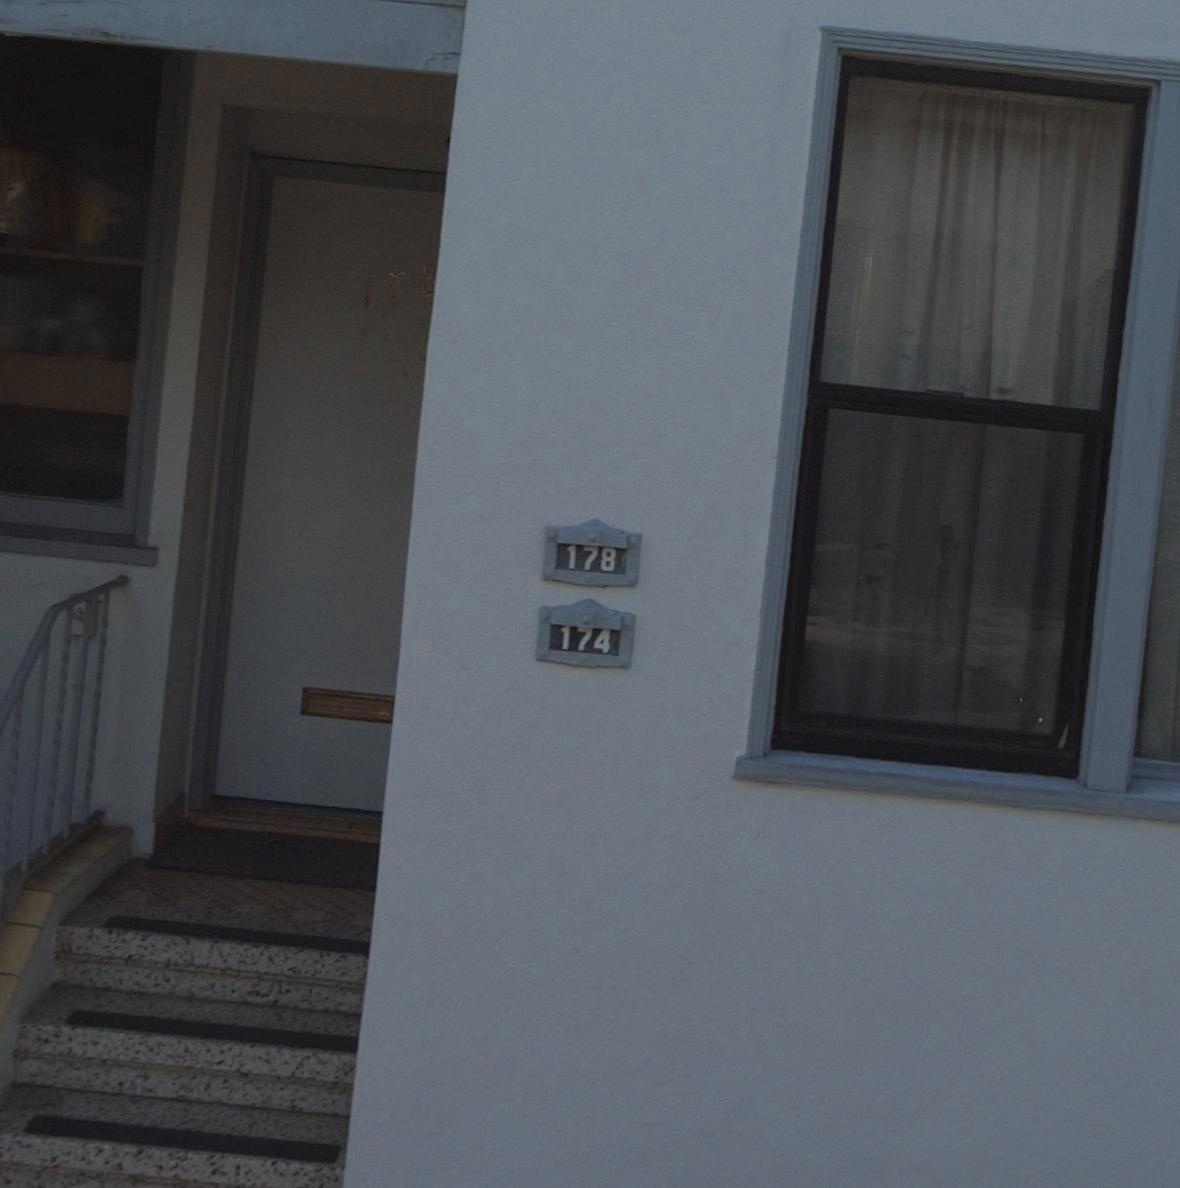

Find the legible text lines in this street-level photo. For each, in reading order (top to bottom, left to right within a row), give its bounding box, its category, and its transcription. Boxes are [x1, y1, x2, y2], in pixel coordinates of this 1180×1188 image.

[562, 541, 620, 575] StreetNumber: 178
[558, 622, 615, 658] StreetNumber: 174